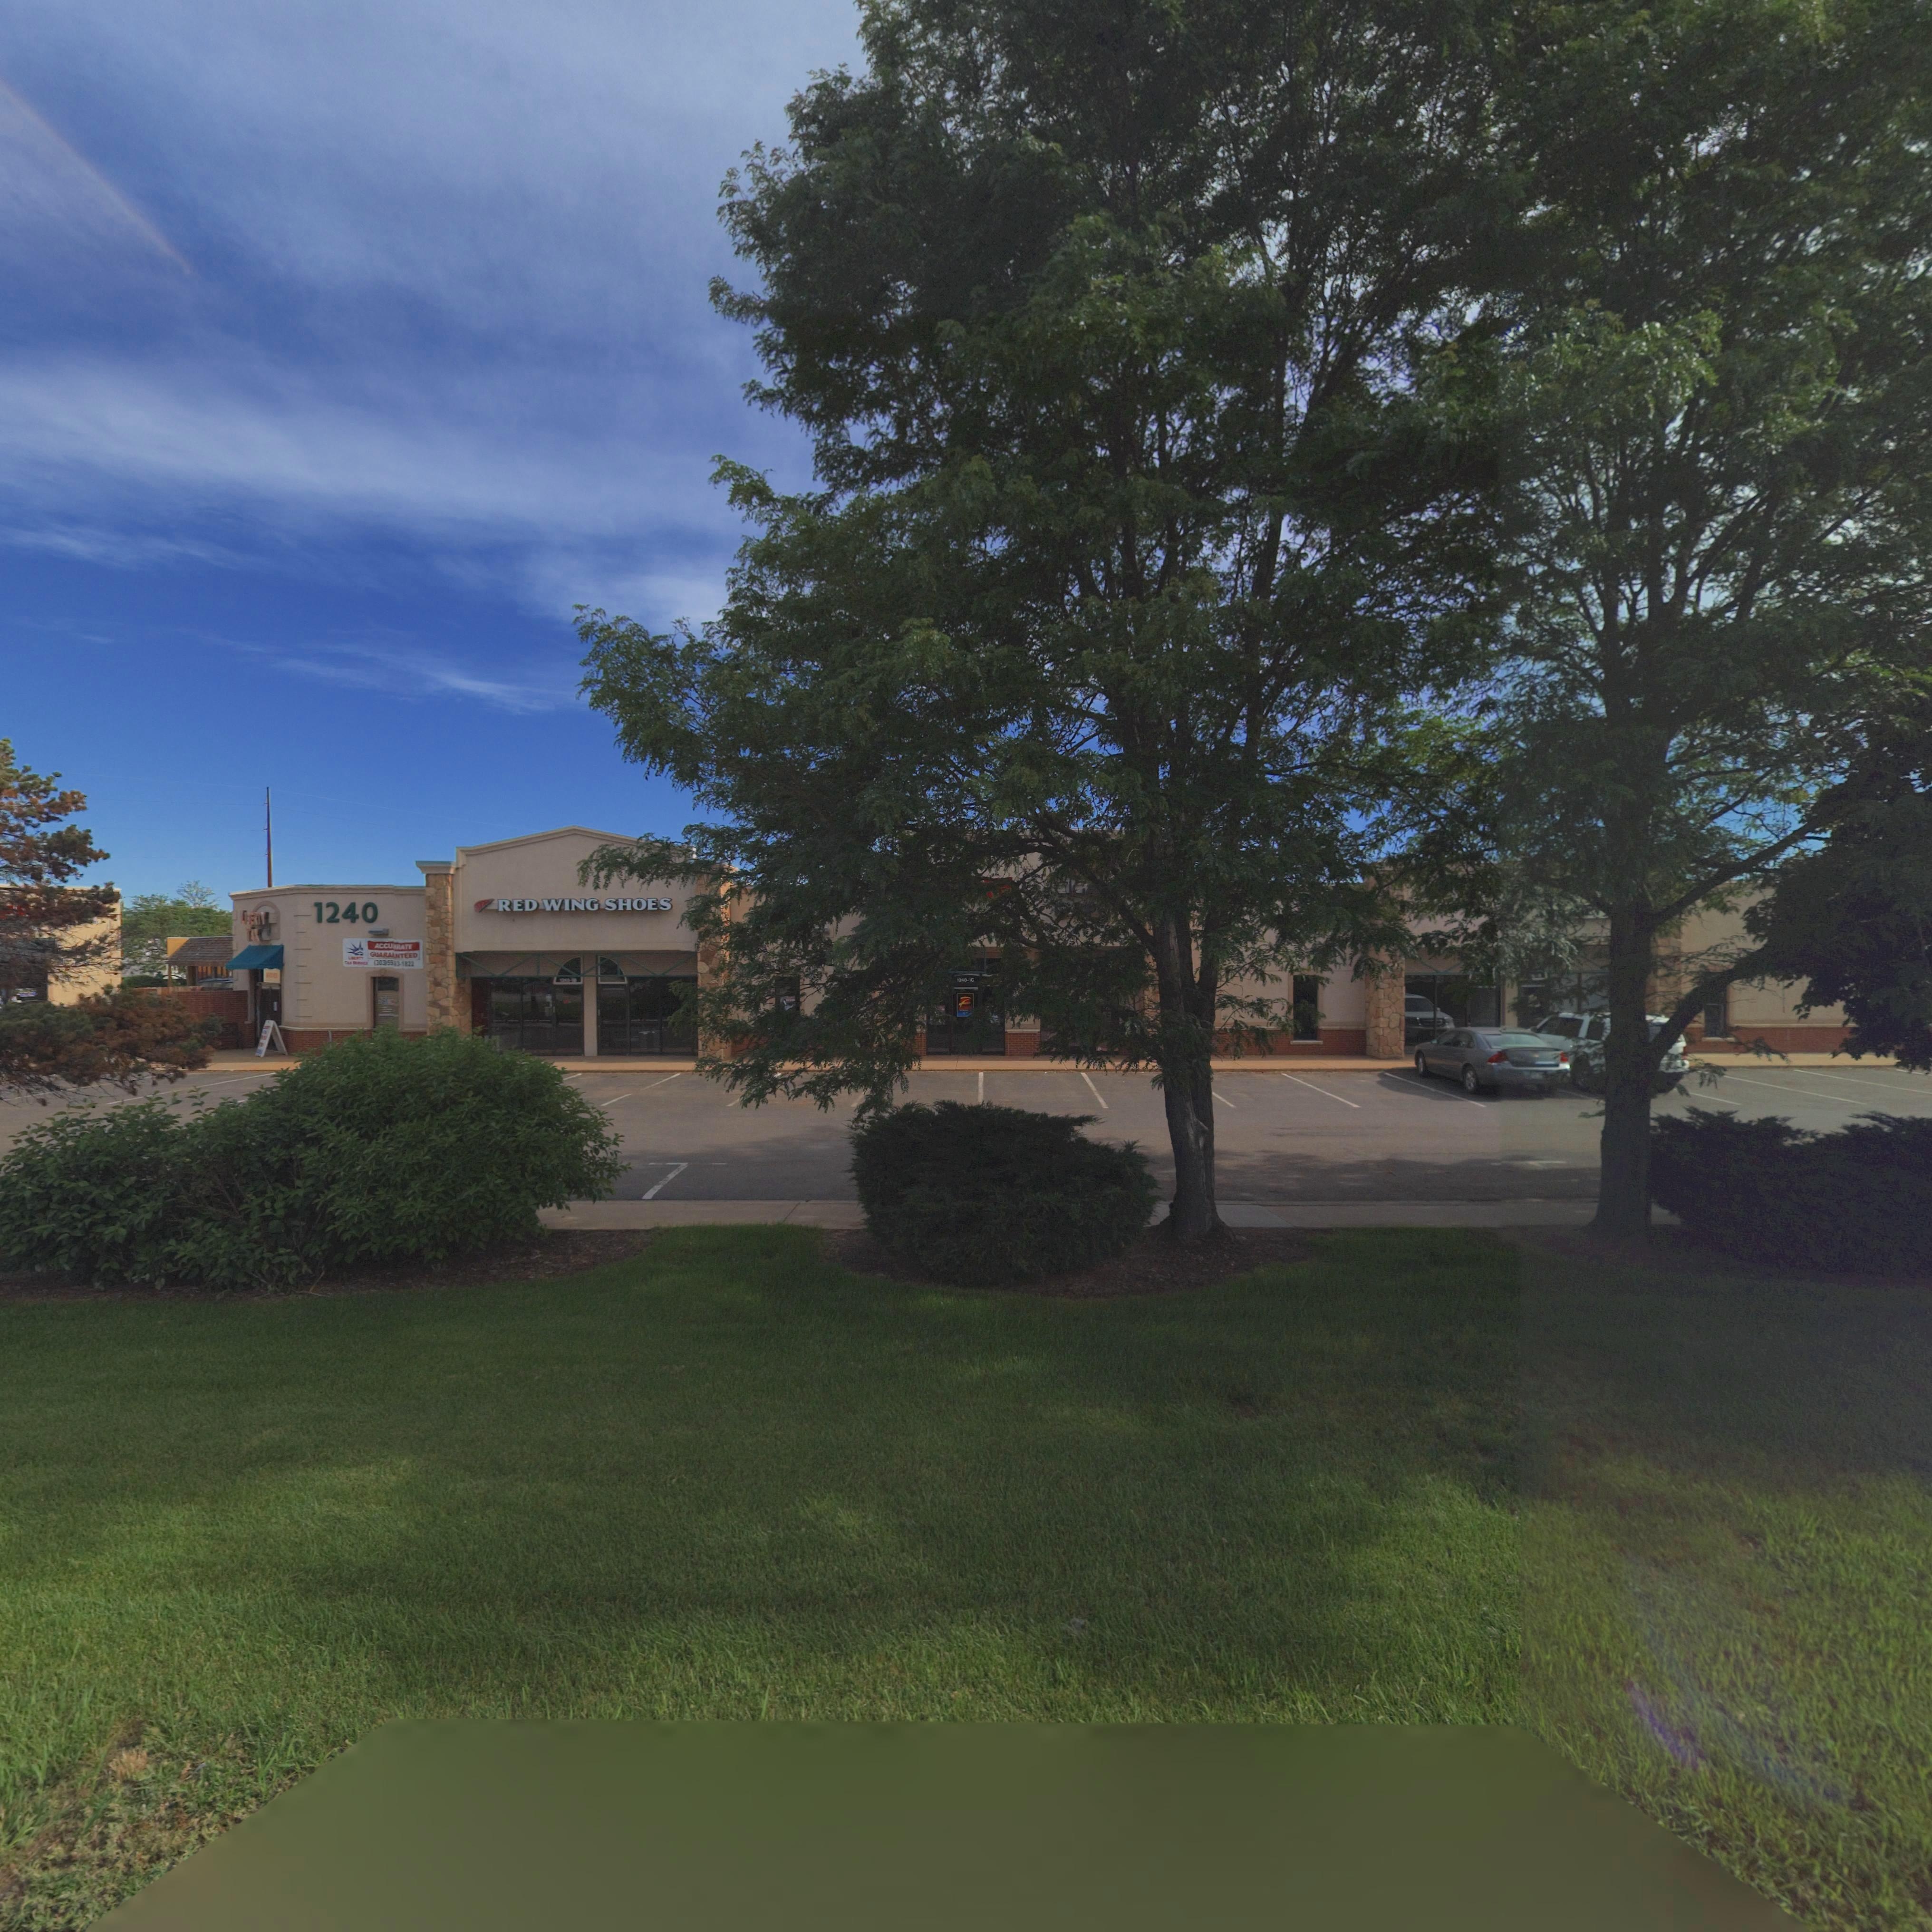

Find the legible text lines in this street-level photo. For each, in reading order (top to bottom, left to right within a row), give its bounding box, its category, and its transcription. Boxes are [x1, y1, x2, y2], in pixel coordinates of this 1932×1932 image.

[496, 897, 672, 912] BusinessName: RED WING SHOES
[240, 909, 267, 925] BusinessName: L**E*TY
[314, 901, 378, 923] StreetNumber: 1240
[244, 927, 260, 941] BusinessName: T**
[559, 978, 577, 982] StreetNumber: 13** ***
[956, 977, 974, 982] StreetNumber: 1240-1C